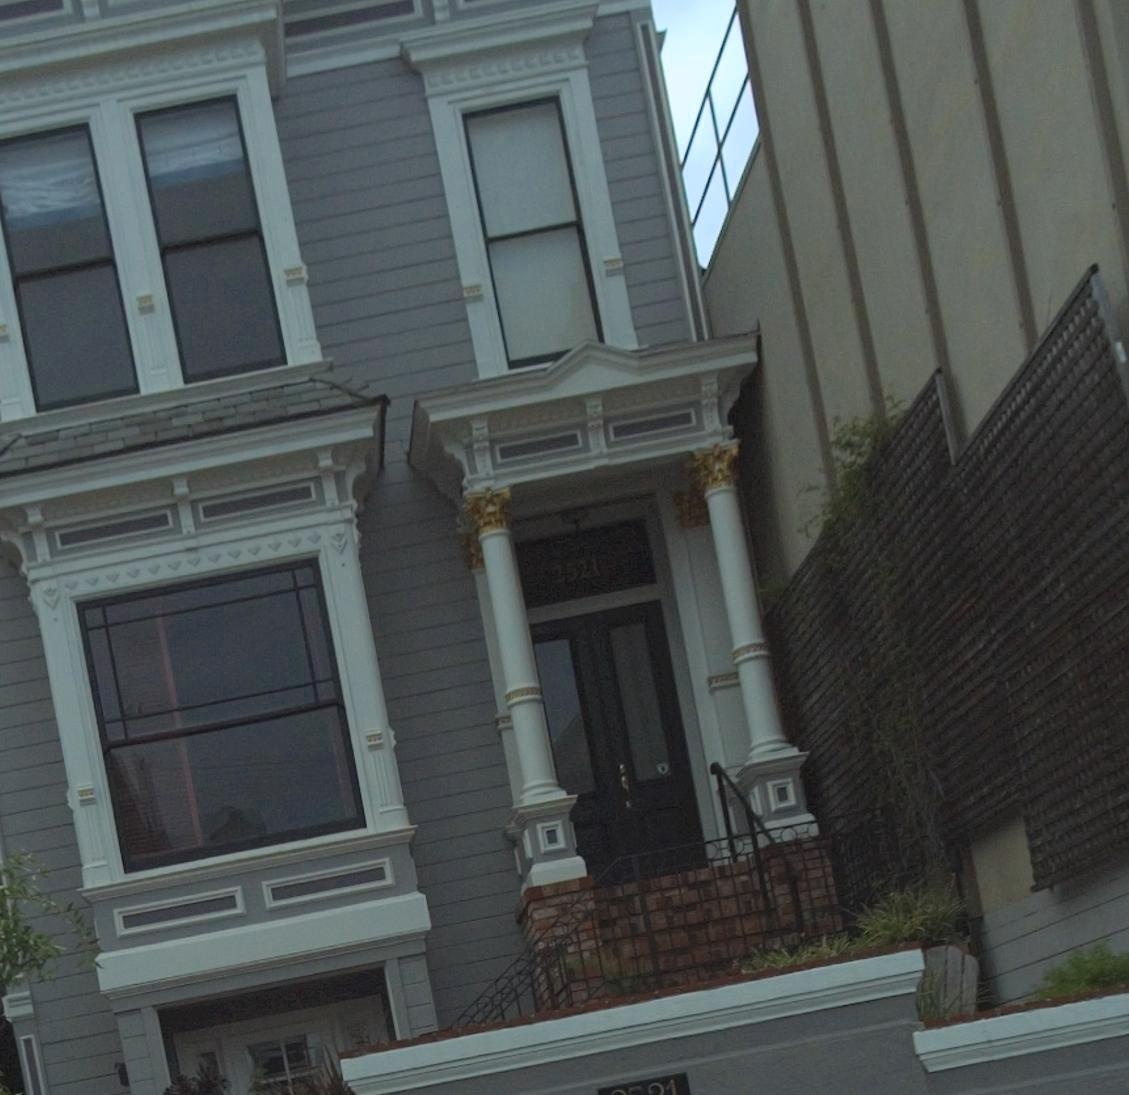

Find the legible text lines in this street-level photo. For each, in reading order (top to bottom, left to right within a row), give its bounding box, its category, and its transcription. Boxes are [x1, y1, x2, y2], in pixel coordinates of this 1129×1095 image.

[549, 553, 605, 589] StreetNumber: 2521